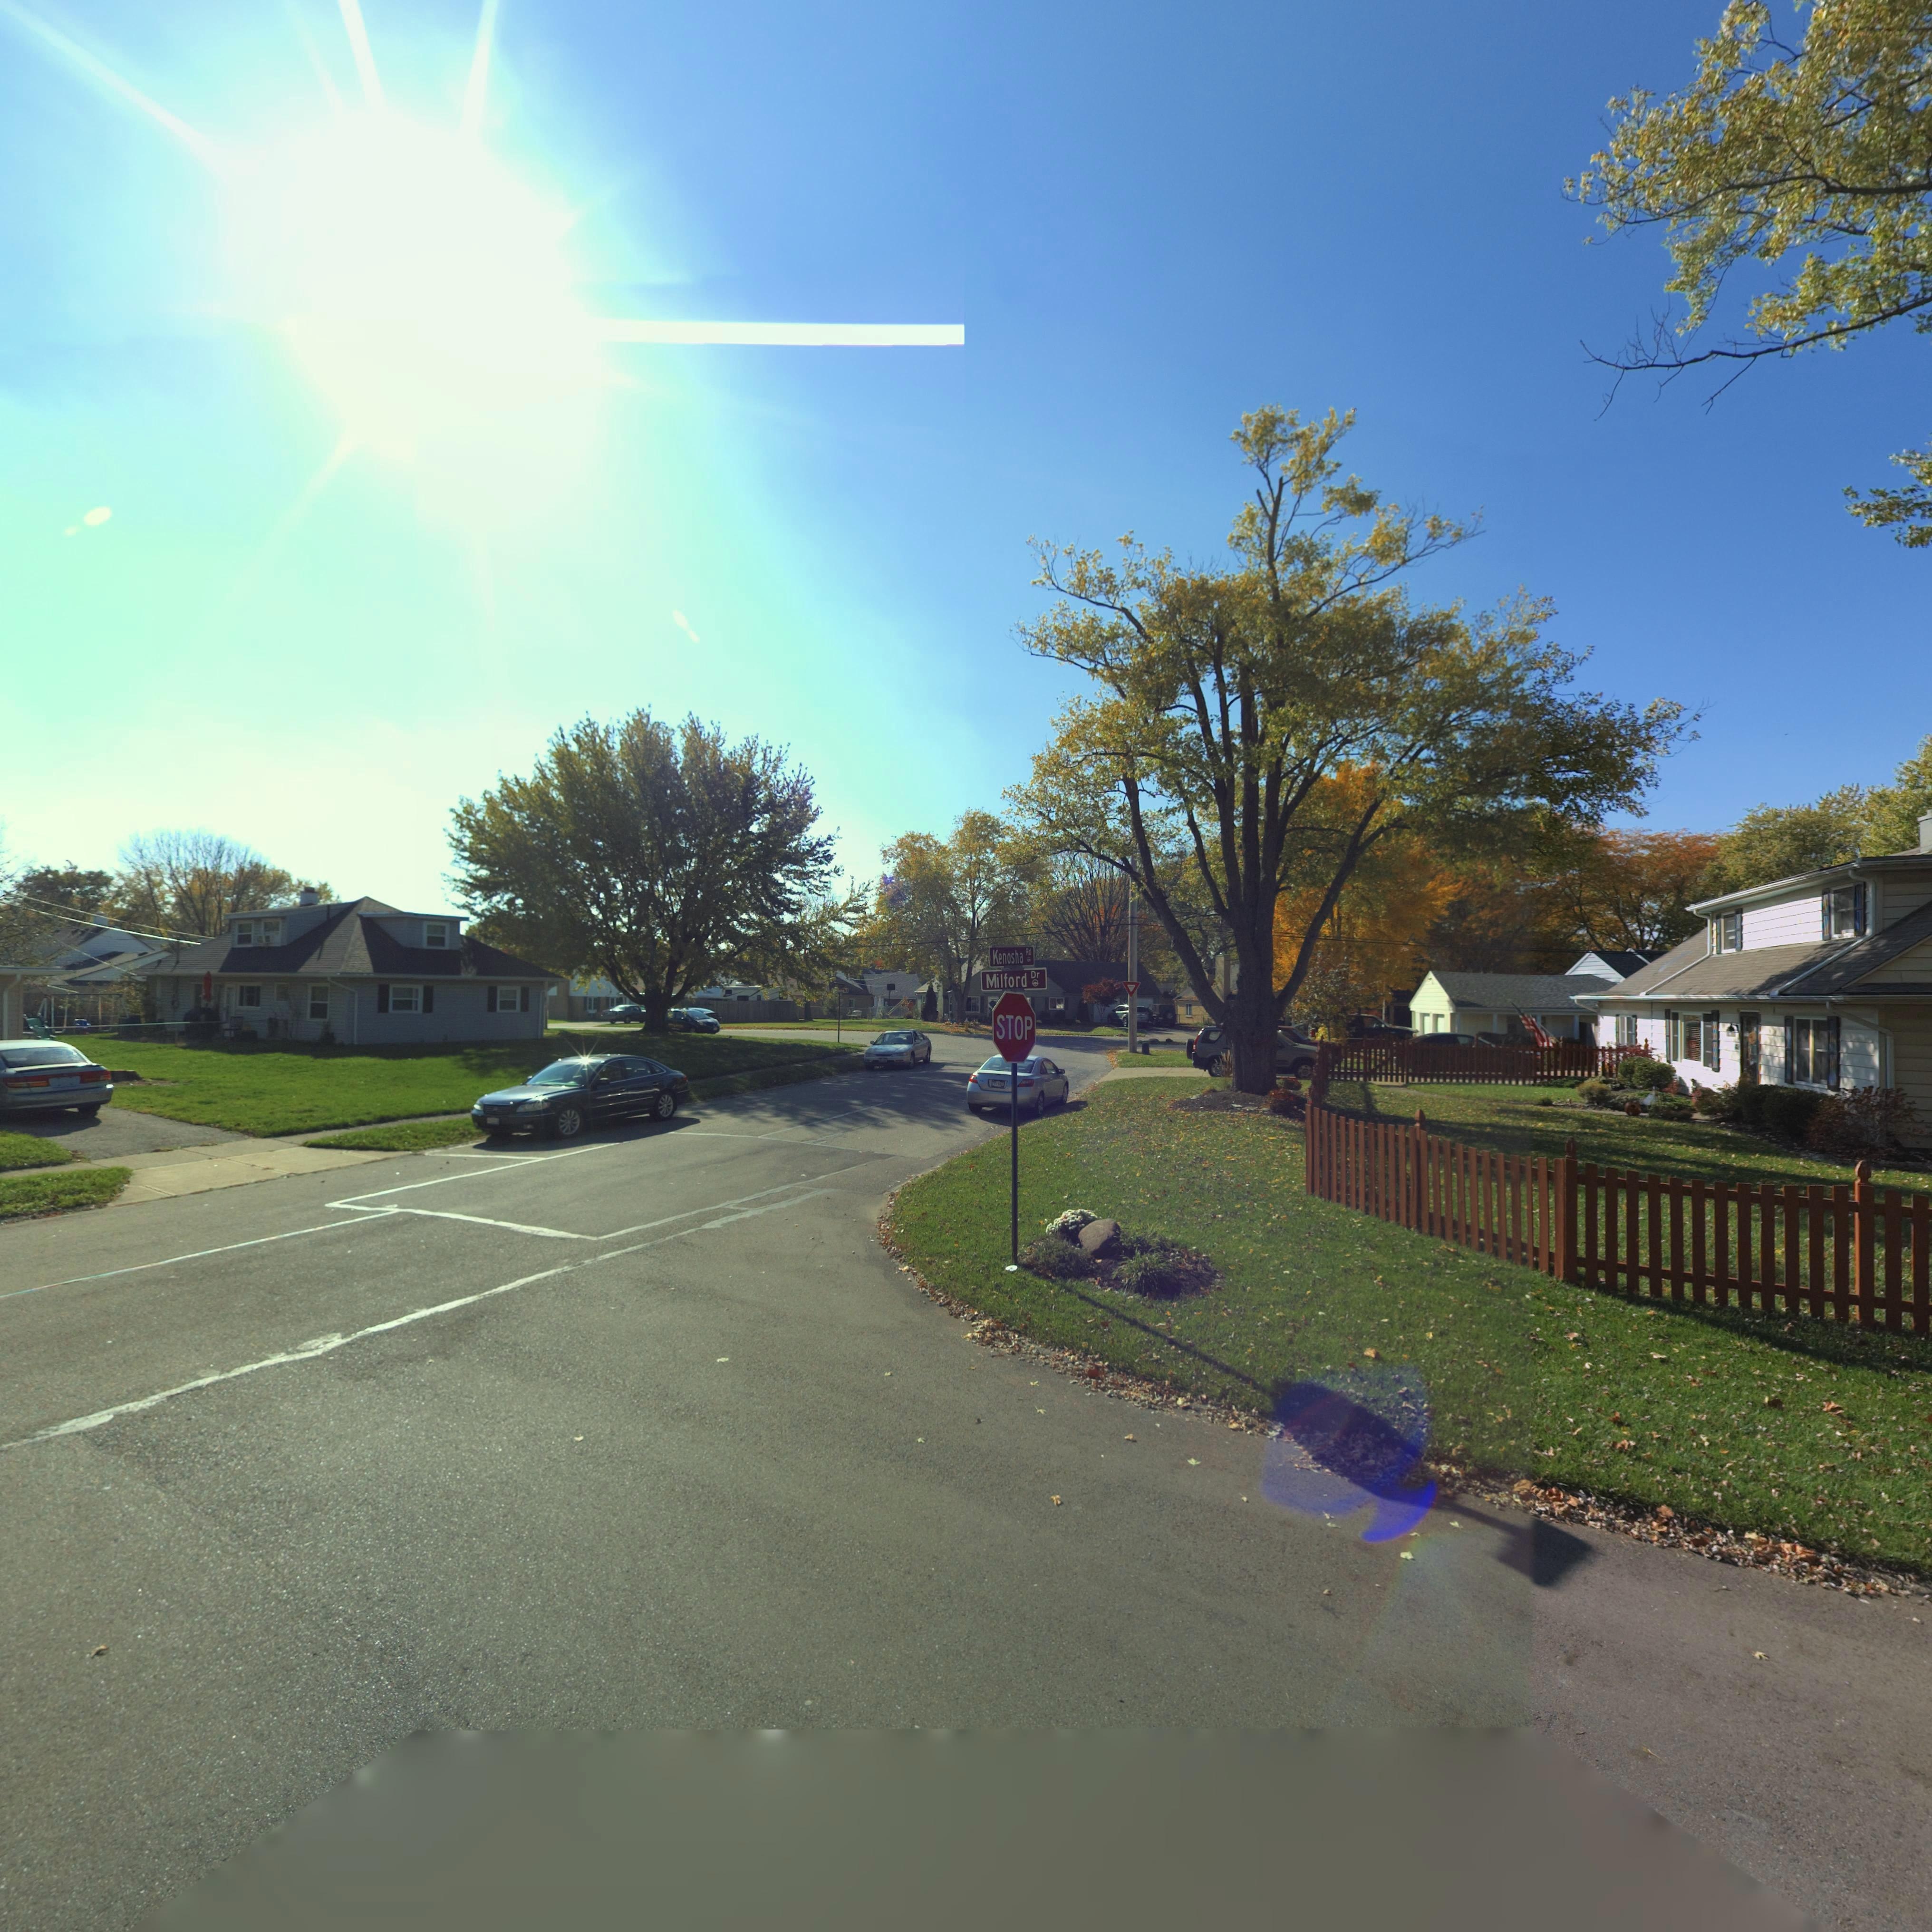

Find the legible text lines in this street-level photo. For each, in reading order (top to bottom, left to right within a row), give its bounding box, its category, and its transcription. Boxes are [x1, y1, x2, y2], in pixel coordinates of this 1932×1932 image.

[992, 947, 1033, 966] StreetName: Kenosha Rd
[985, 969, 1042, 990] StreetName: Milford Dr
[995, 1013, 1034, 1042] None: STOP